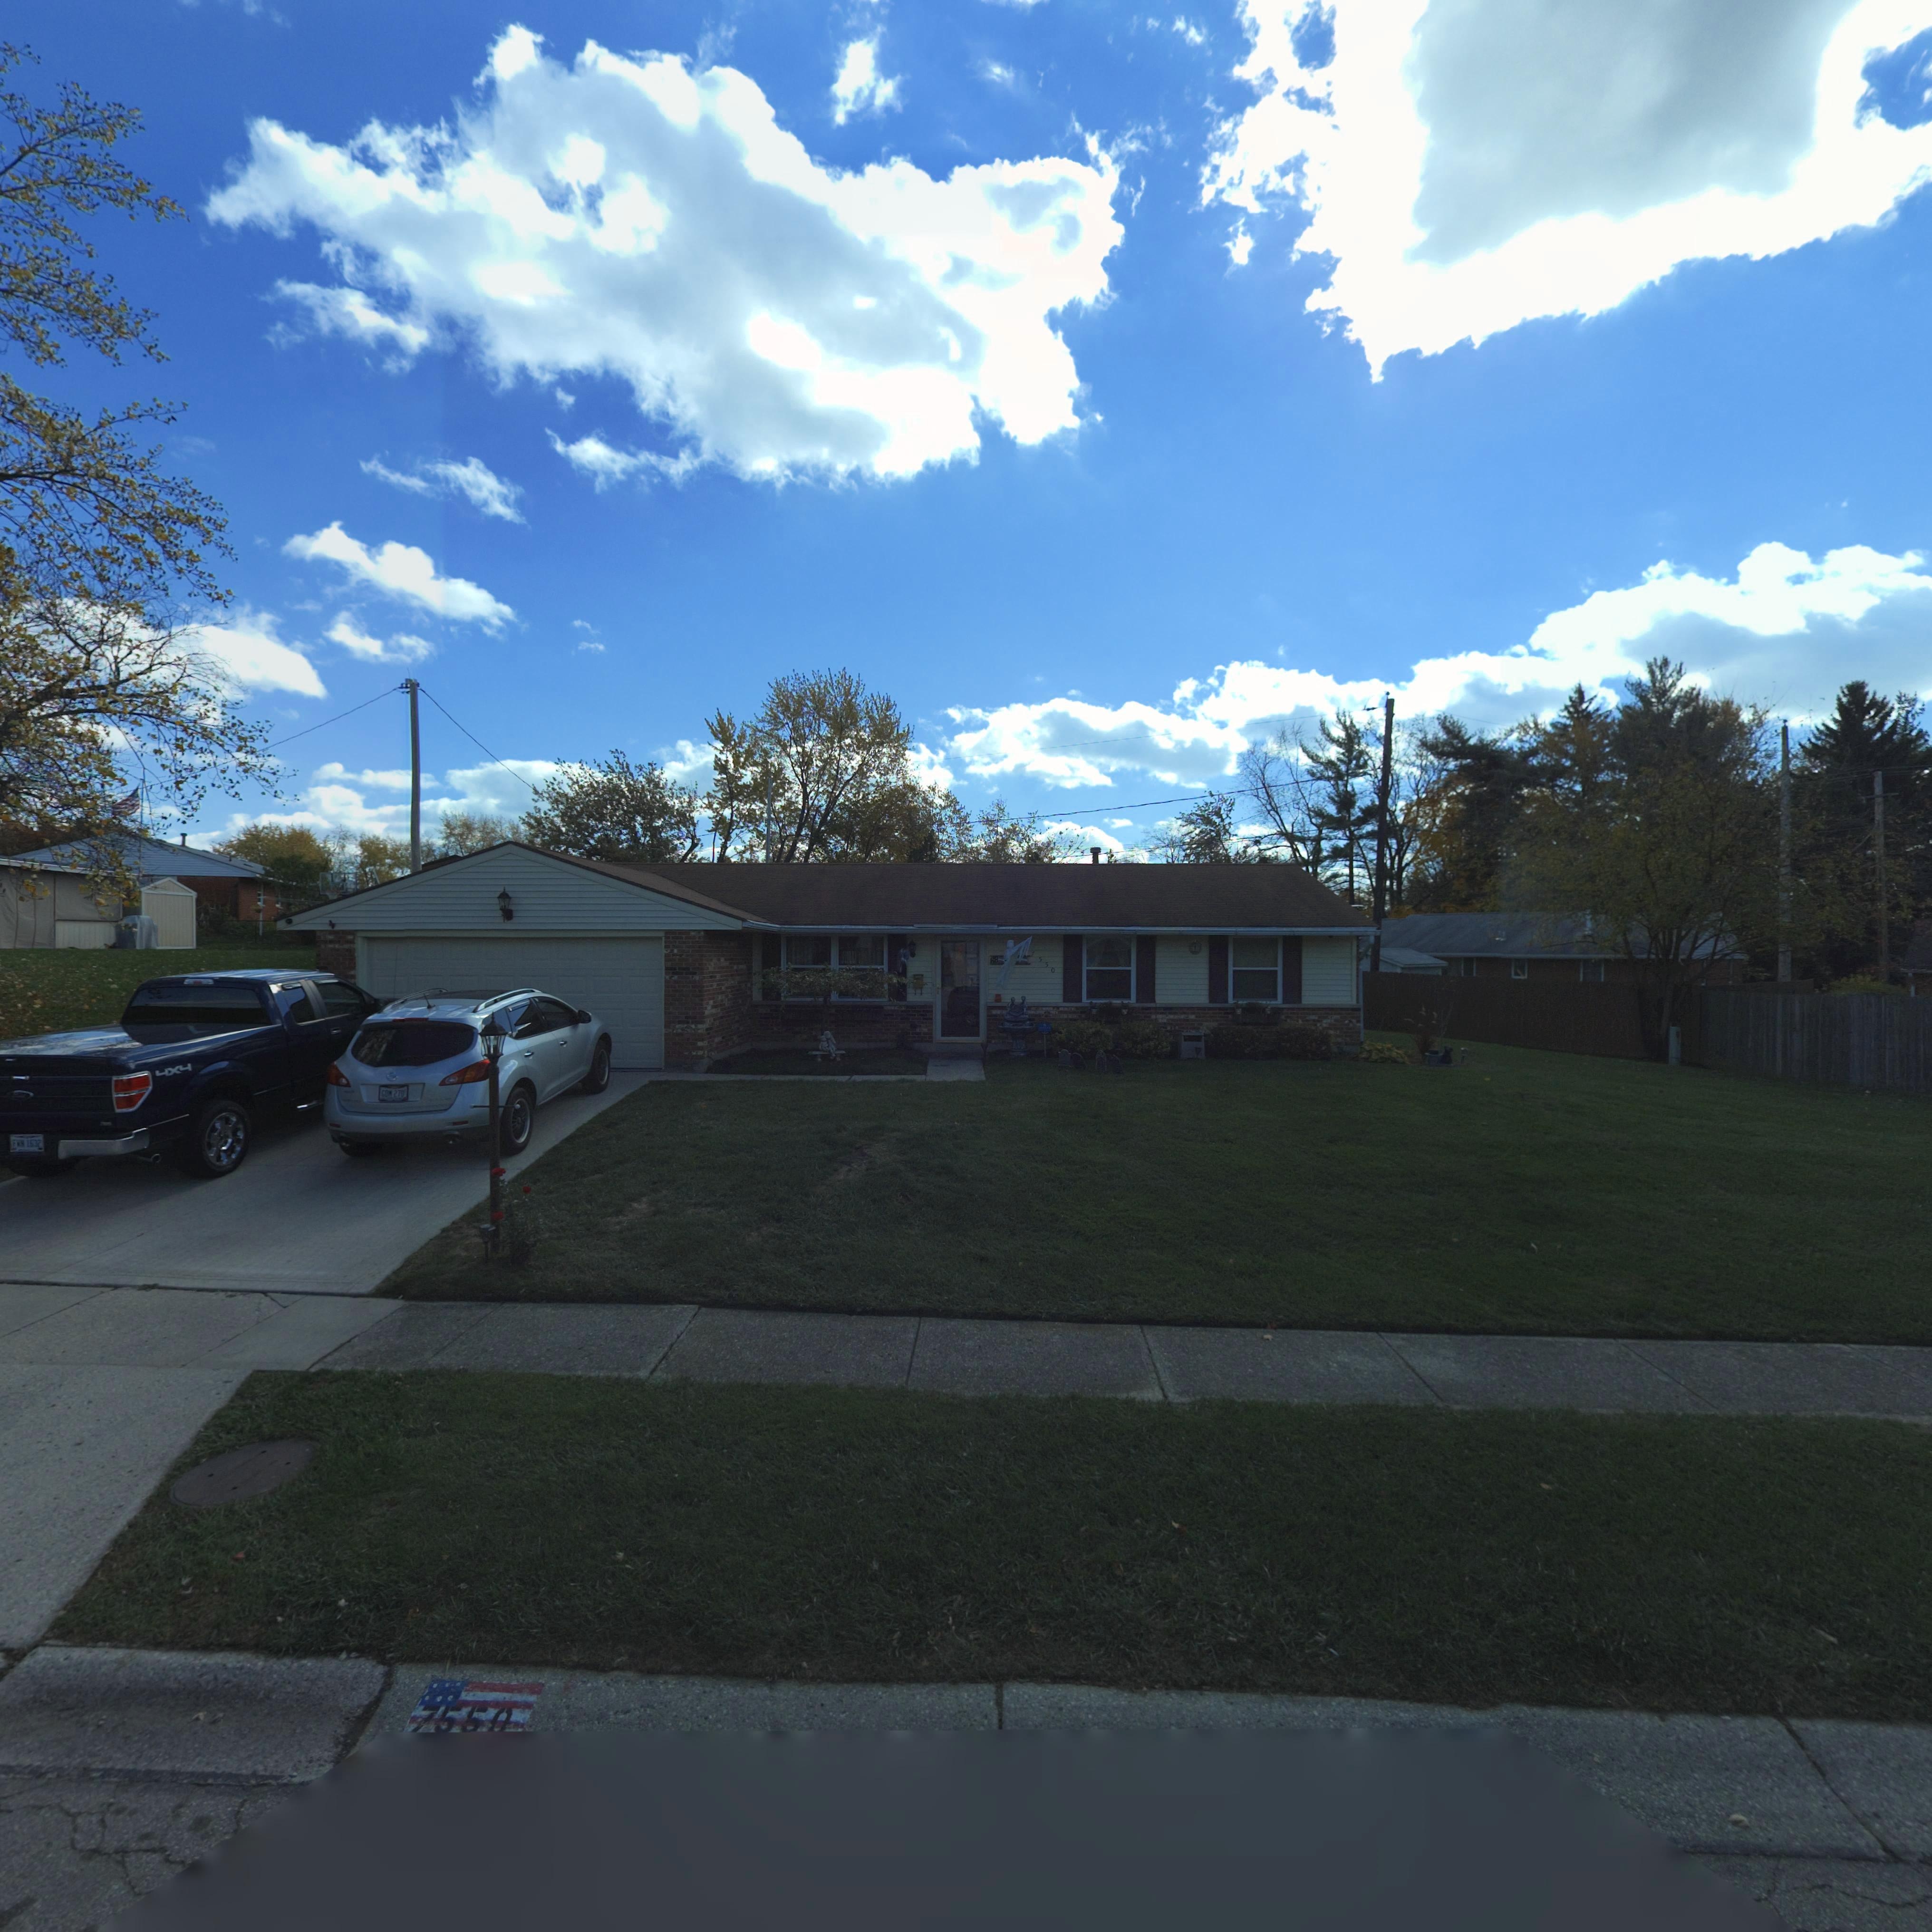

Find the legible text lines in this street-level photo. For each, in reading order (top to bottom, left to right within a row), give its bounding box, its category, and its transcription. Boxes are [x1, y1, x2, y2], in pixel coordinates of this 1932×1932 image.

[1031, 950, 1055, 974] StreetNumber: 7550
[408, 1702, 514, 1734] StreetNumber: 7550